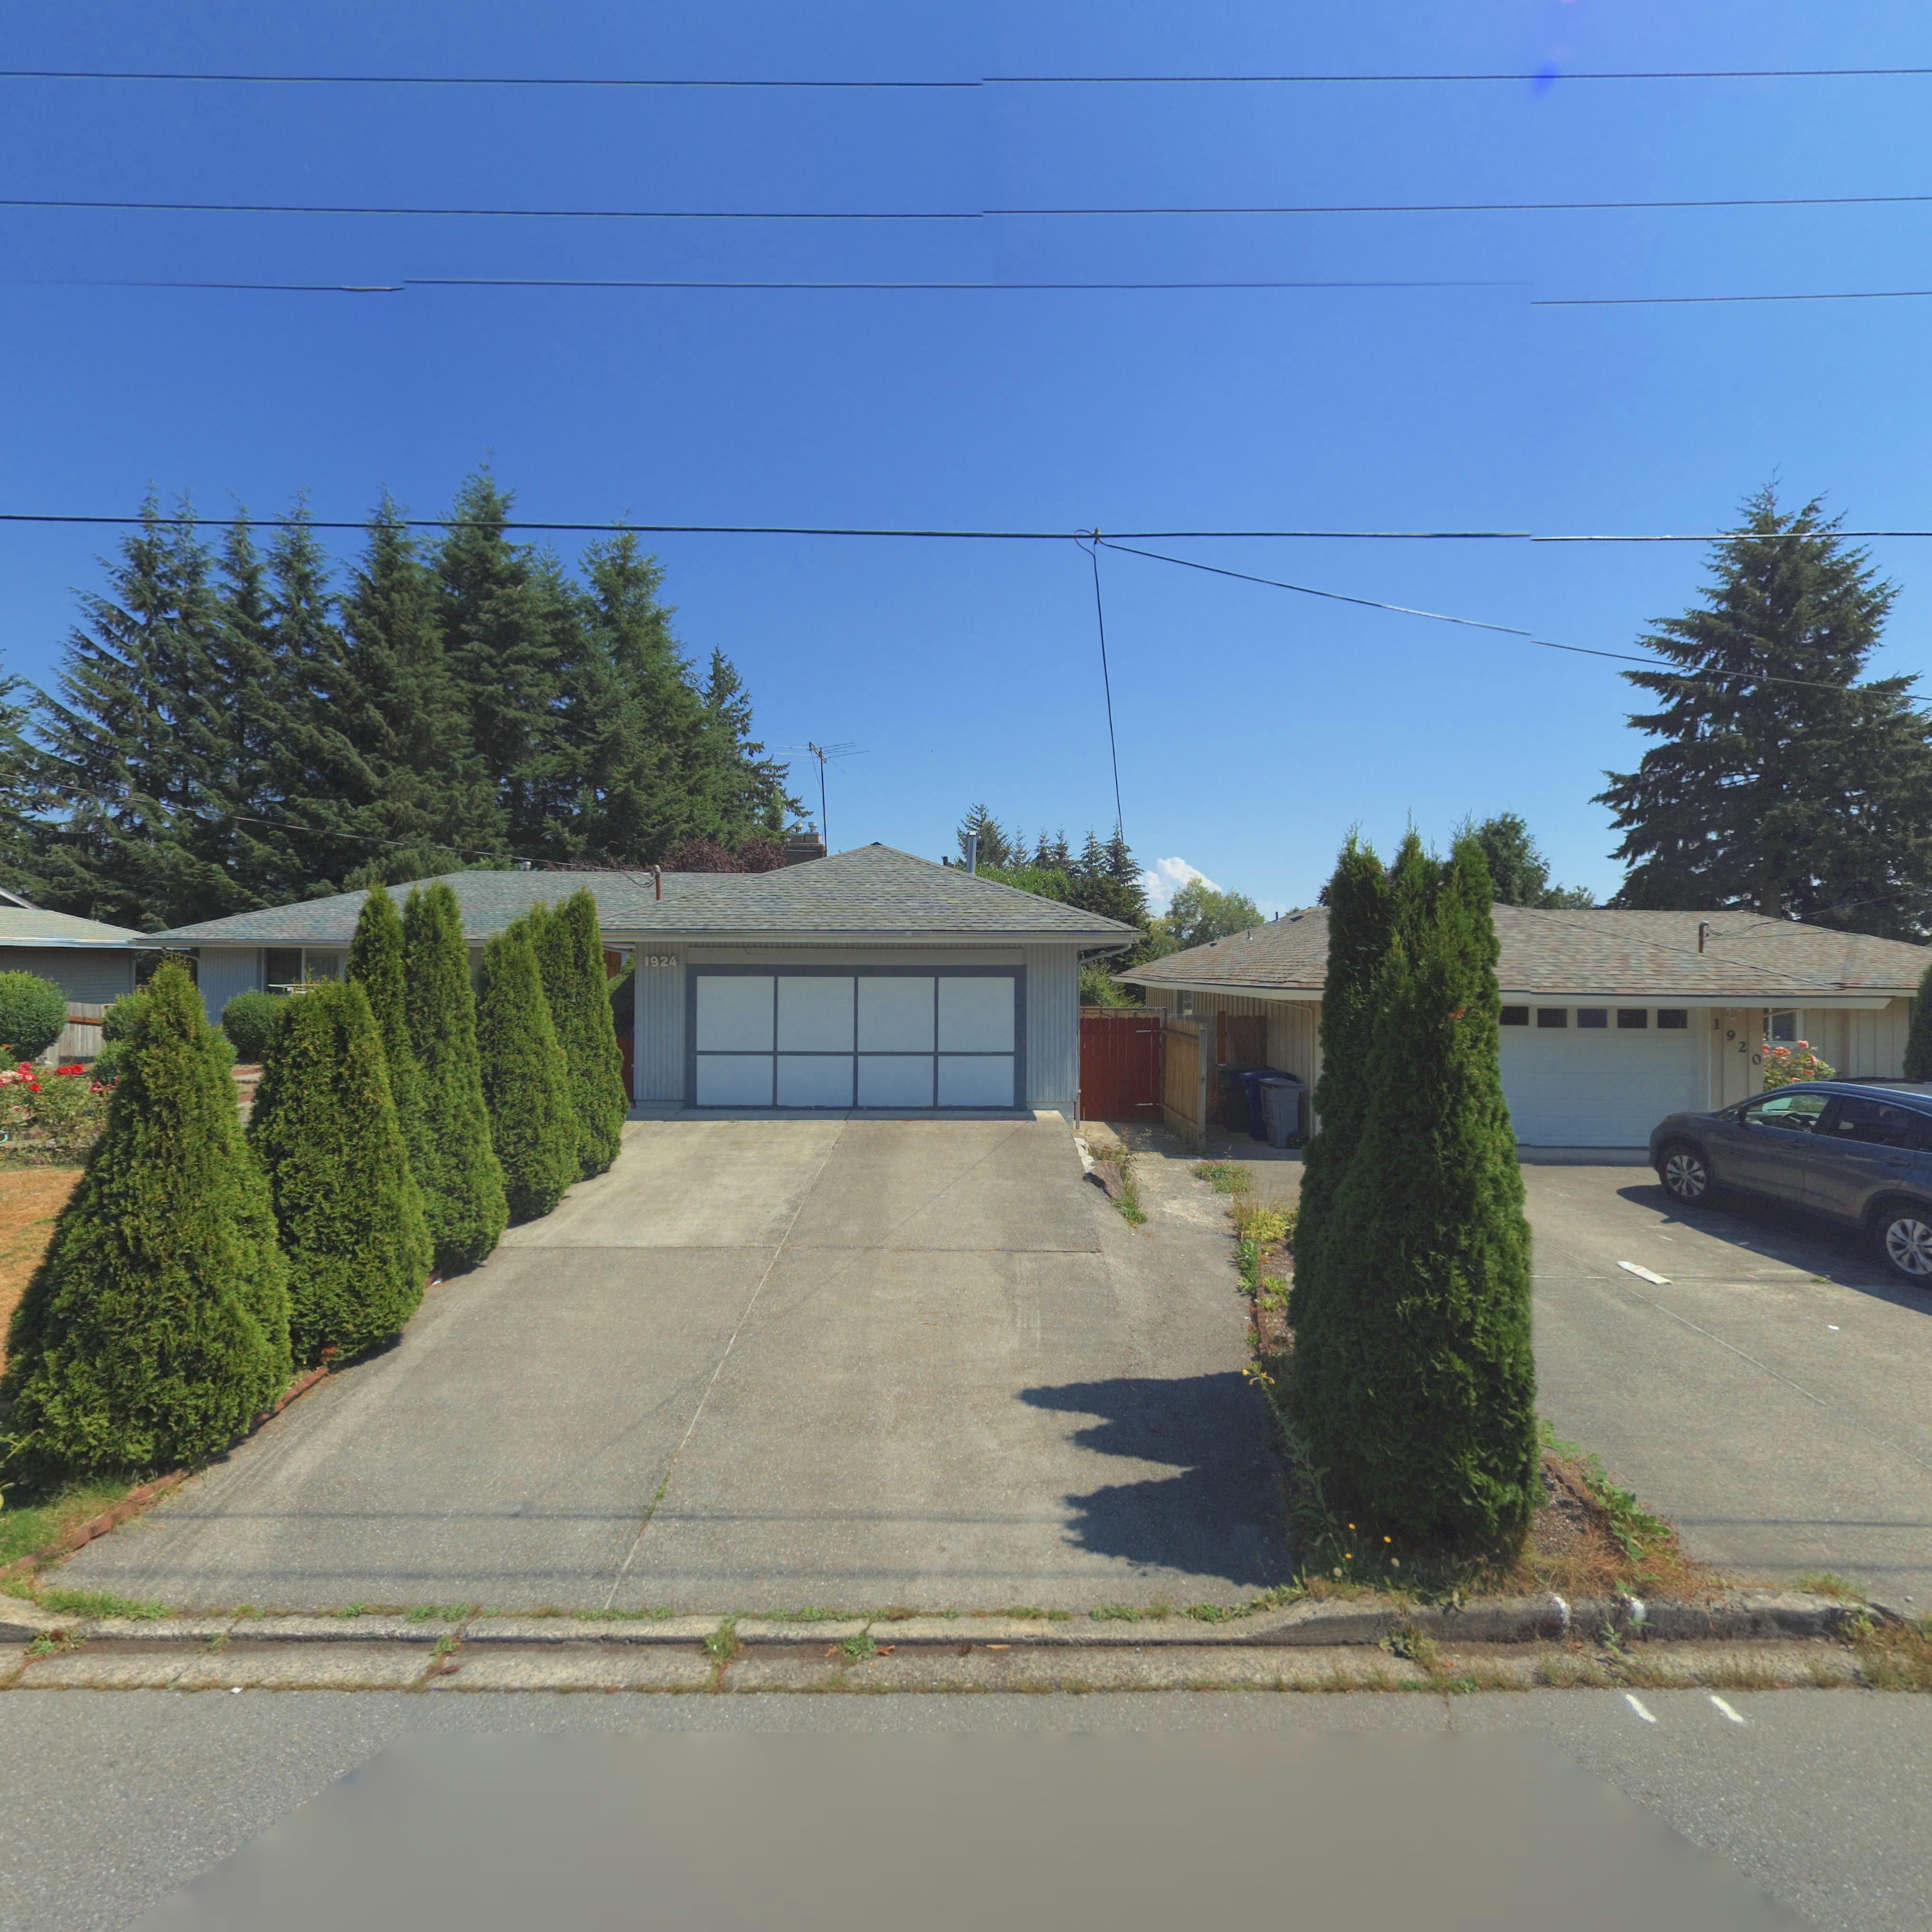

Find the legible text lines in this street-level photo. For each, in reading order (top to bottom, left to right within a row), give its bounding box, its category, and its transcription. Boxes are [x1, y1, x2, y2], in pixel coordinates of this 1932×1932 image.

[645, 956, 676, 966] StreetNumber: 1924
[1712, 1017, 1763, 1068] StreetNumber: 1920